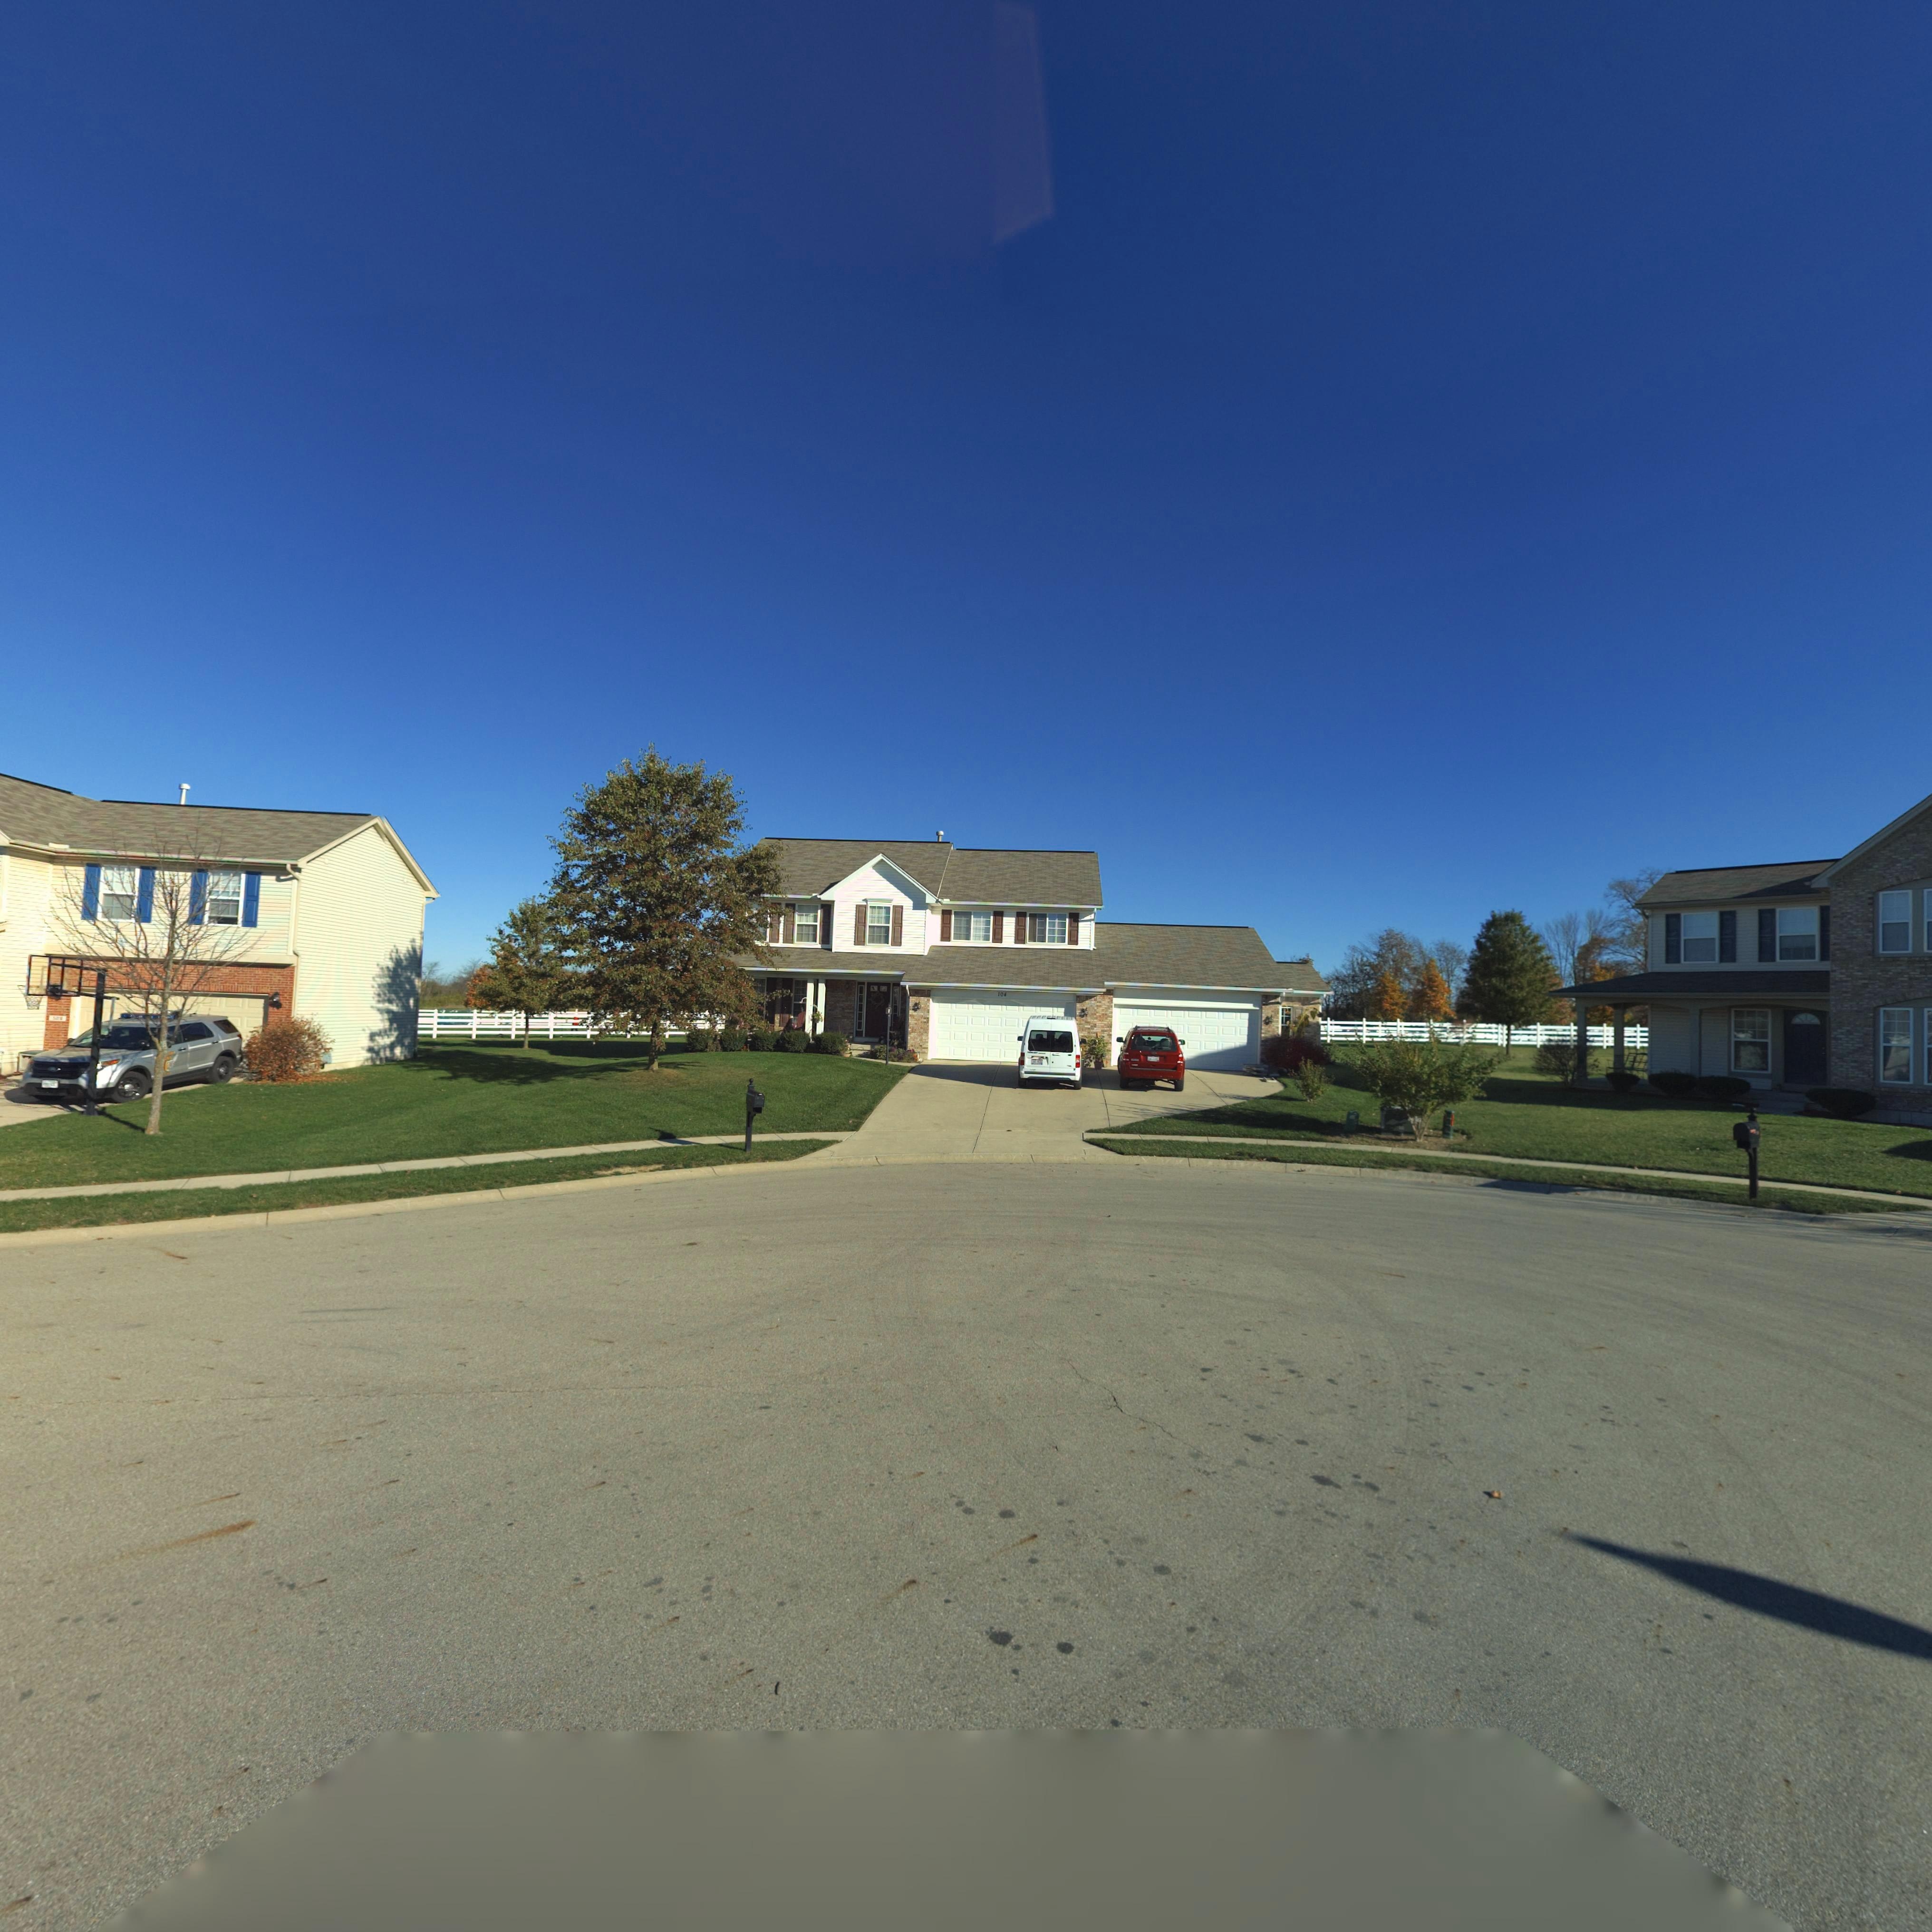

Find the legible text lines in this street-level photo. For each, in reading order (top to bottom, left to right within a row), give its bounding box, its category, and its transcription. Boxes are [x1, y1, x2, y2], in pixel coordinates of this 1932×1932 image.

[997, 991, 1007, 997] StreetNumber: 10*